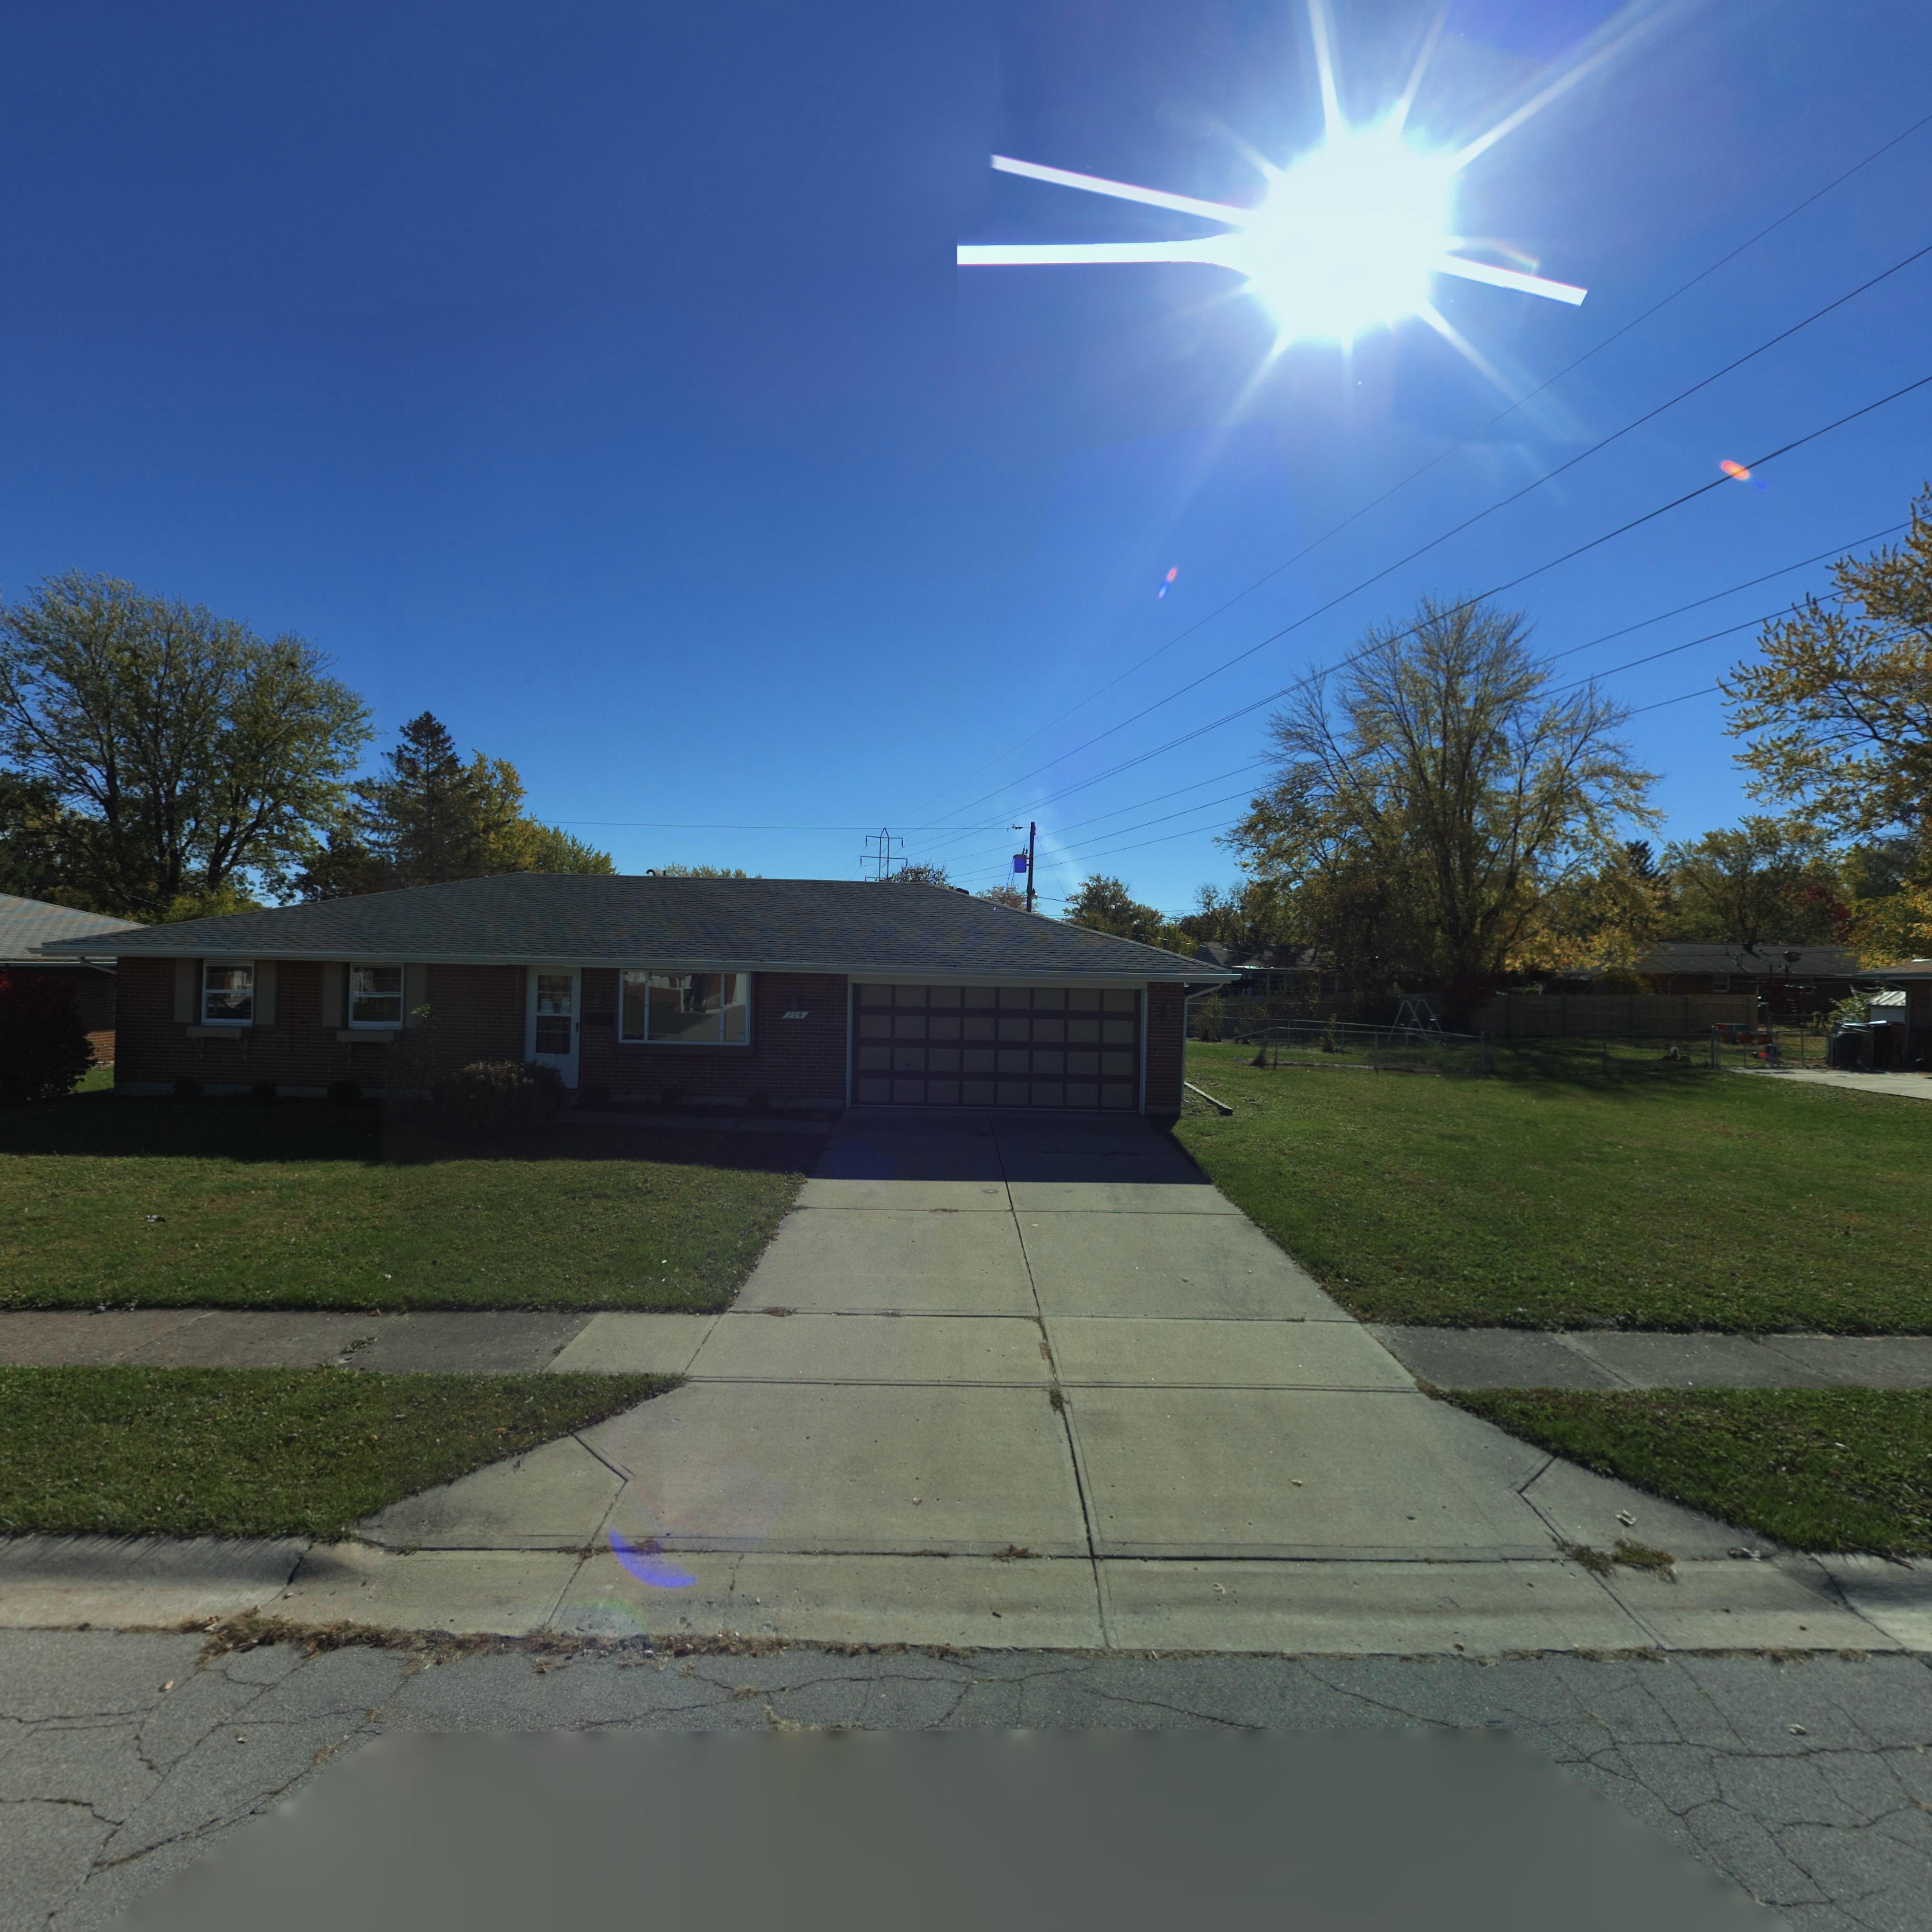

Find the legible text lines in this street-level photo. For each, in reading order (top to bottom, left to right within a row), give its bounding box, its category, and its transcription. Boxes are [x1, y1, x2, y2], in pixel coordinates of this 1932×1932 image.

[787, 1011, 803, 1019] StreetNumber: 114